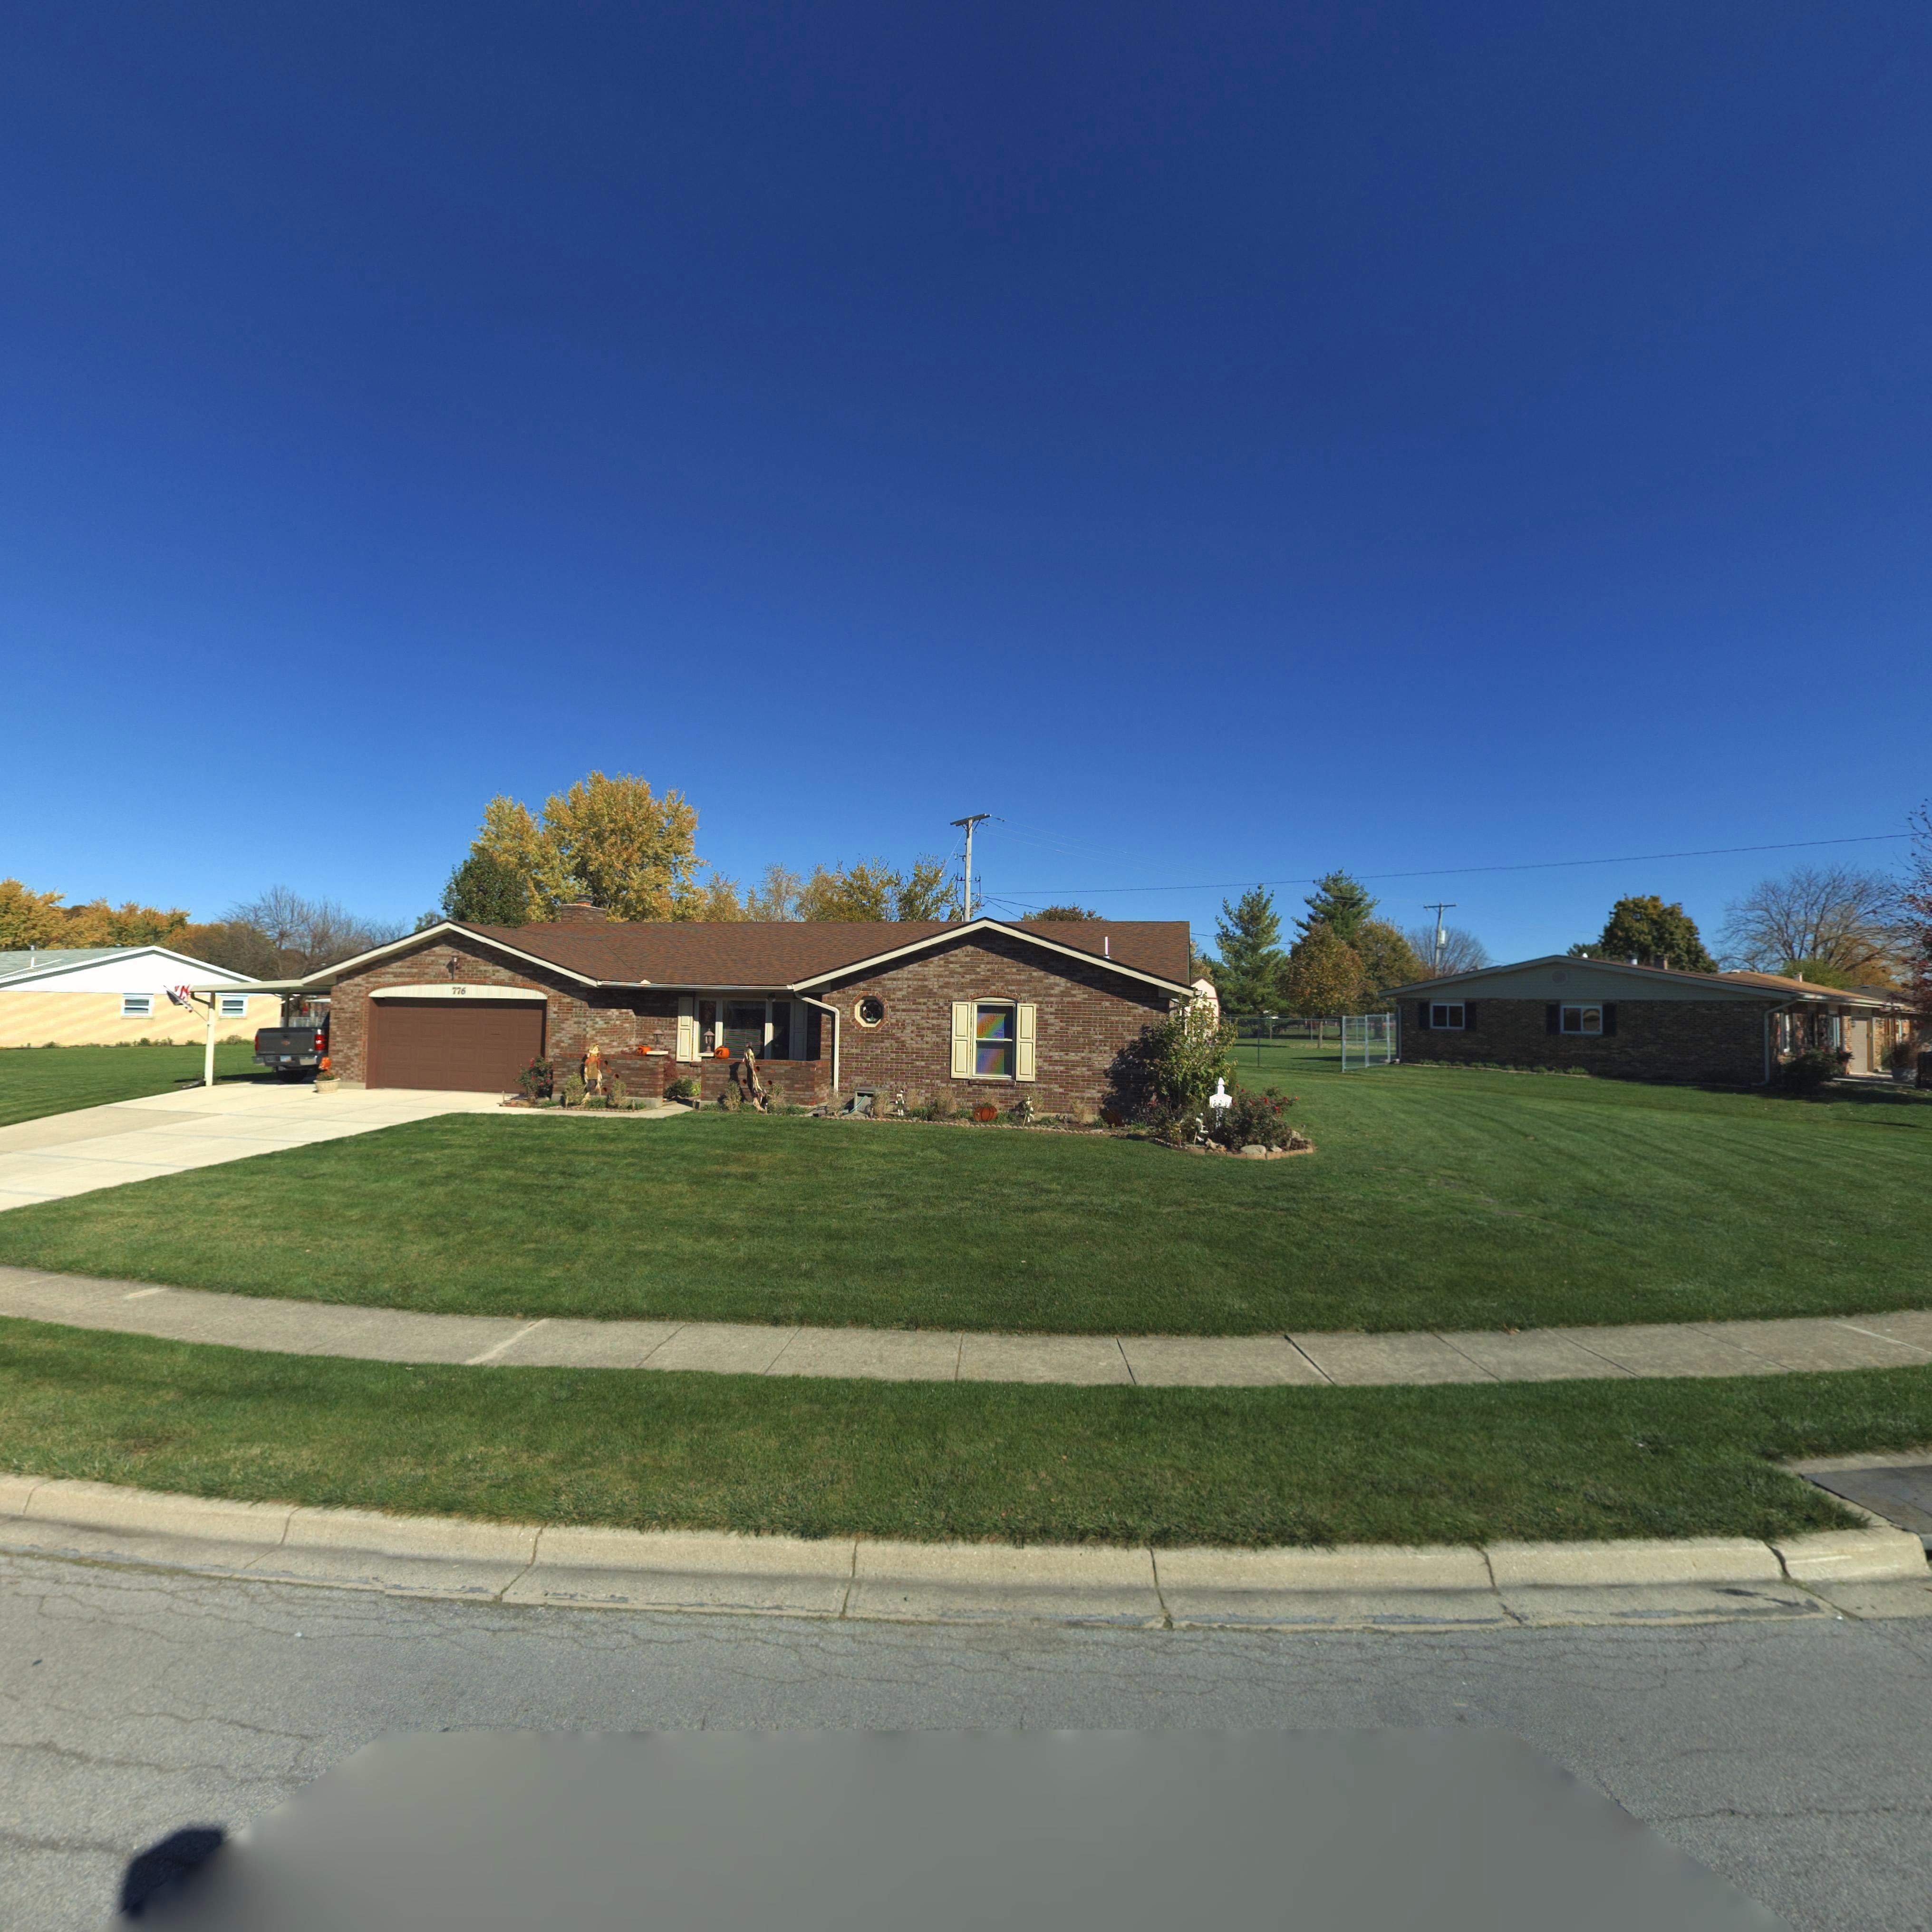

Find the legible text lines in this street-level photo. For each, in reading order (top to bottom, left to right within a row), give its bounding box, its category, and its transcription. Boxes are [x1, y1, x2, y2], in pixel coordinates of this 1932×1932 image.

[452, 986, 466, 995] StreetNumber: 776